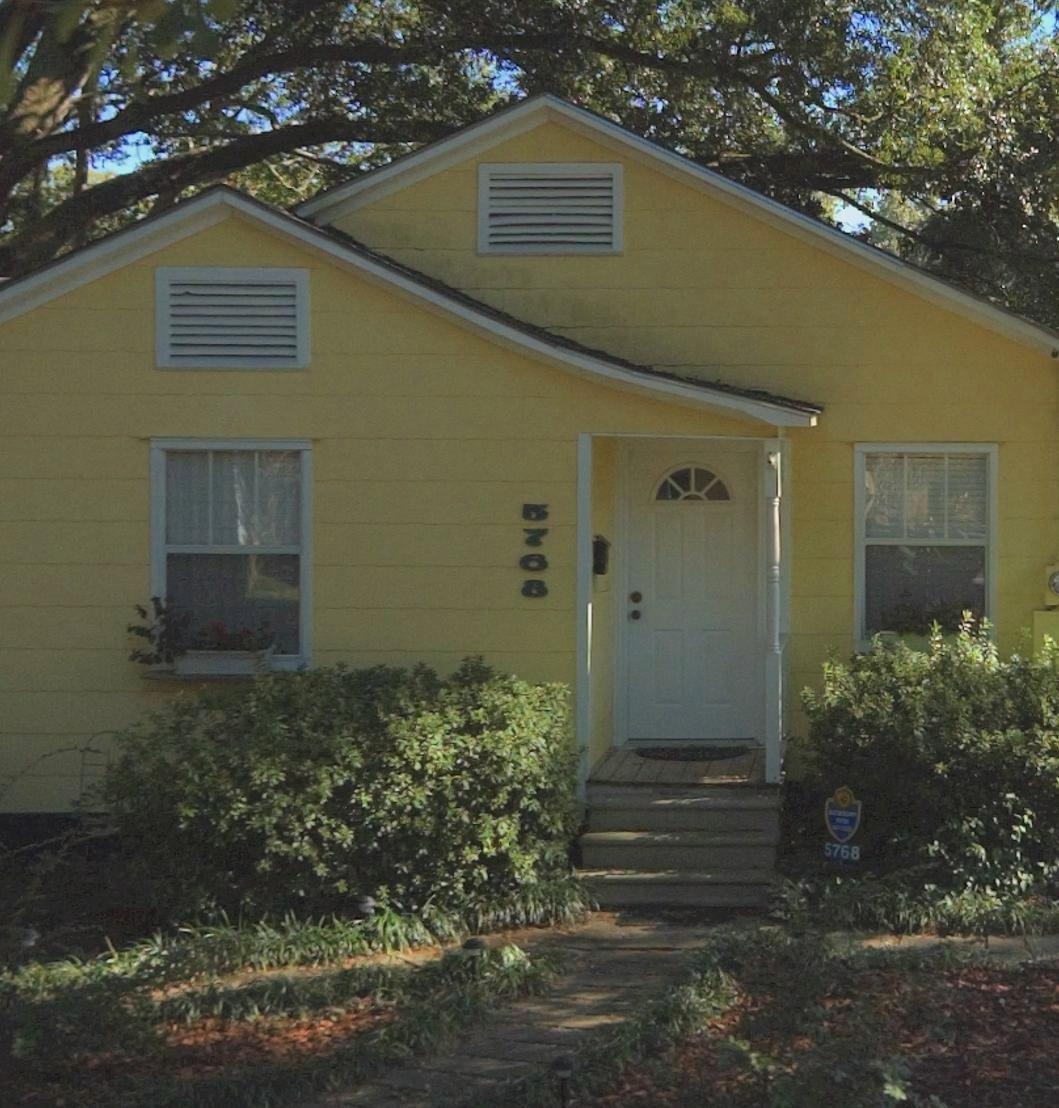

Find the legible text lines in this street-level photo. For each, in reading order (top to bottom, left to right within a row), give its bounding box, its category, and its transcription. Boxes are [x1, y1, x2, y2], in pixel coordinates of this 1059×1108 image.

[519, 502, 551, 599] StreetNumber: 5768
[823, 841, 860, 861] StreetNumber: 5768